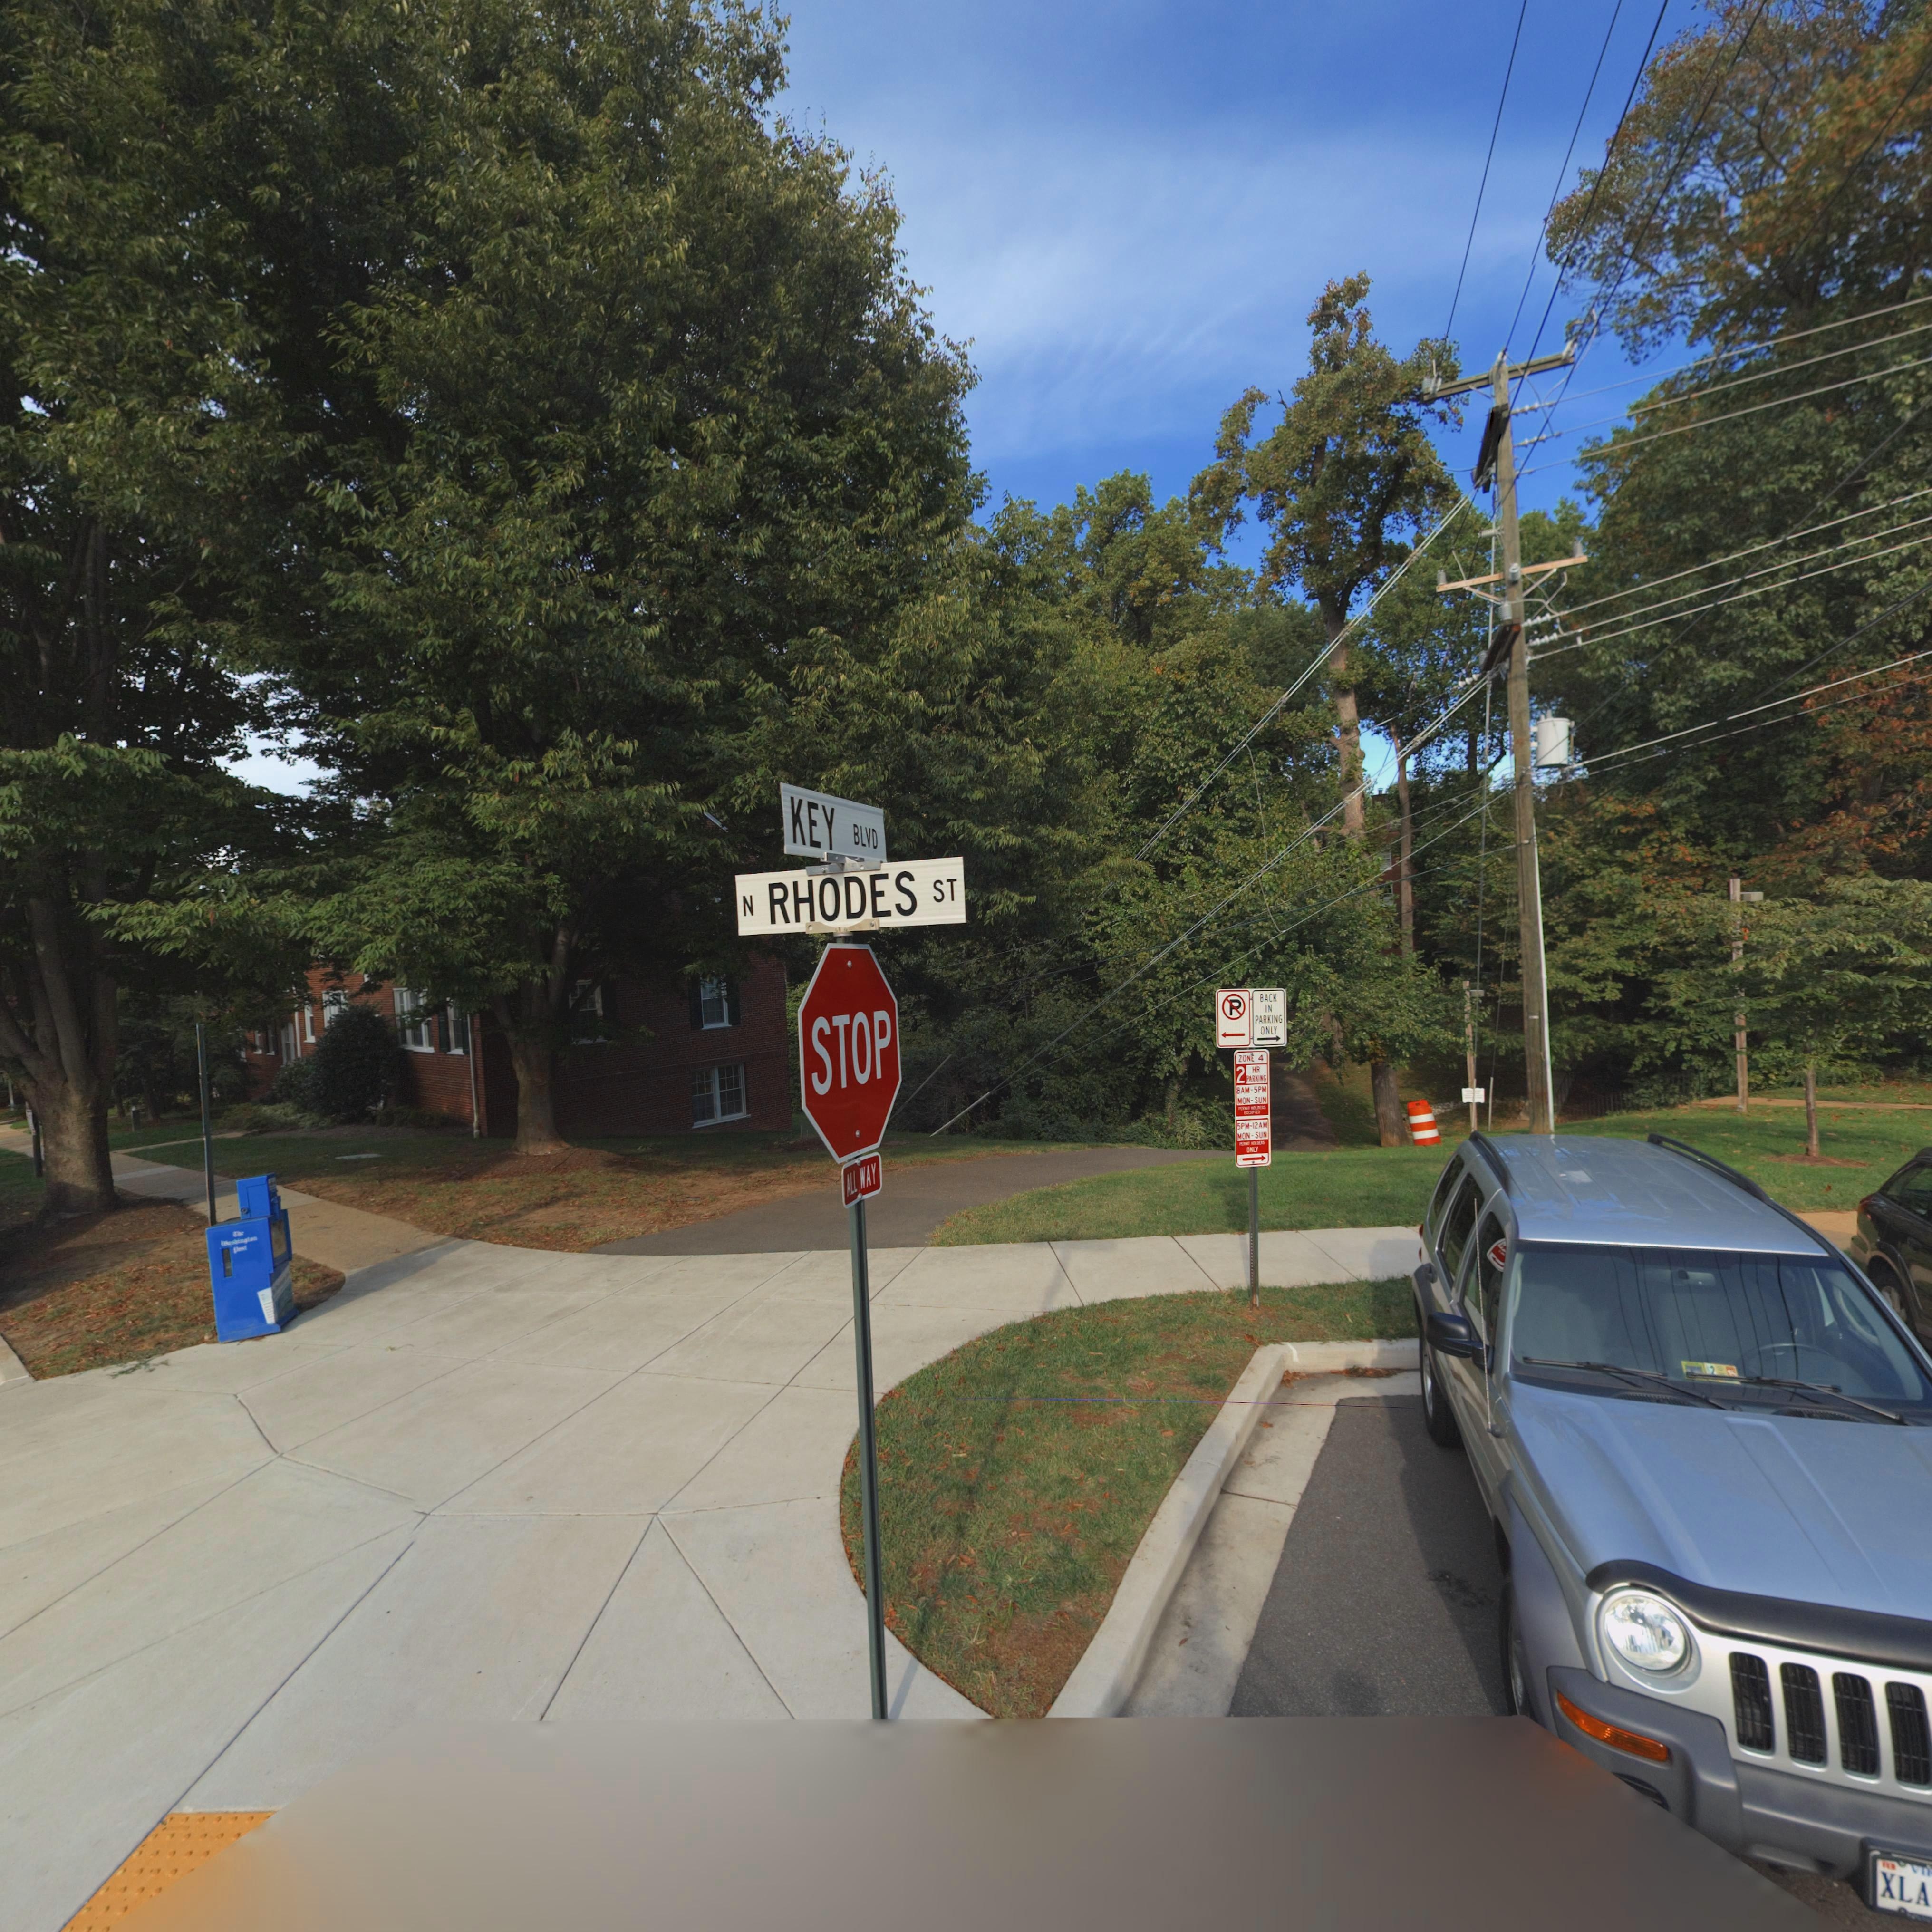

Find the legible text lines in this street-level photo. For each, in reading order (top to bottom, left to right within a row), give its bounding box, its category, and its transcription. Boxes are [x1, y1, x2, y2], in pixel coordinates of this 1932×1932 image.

[785, 789, 884, 859] StreetName: KEY BLVD
[740, 866, 963, 930] StreetName: N RHODES ST
[1258, 992, 1279, 1005] None: BACK
[1264, 1002, 1273, 1015] None: IN
[1254, 1014, 1284, 1024] None: PARKING
[1259, 1025, 1279, 1036] None: ONLY
[807, 1005, 898, 1103] None: STOP
[1237, 1053, 1265, 1063] None: ZONE 4
[1233, 1064, 1246, 1085] None: 2
[1251, 1065, 1262, 1074] None: HR
[1246, 1073, 1268, 1083] None: PARKING
[1236, 1085, 1267, 1095] None: 8AM-5PM
[1236, 1095, 1268, 1105] None: MON-SUN
[1236, 1121, 1269, 1130] None: 5PM-12AM
[1236, 1130, 1268, 1141] None: MON-SUN
[1245, 1145, 1260, 1154] None: ONLY
[844, 1158, 880, 1201] None: ALL WAY
[1875, 1866, 1932, 1913] None: XLA